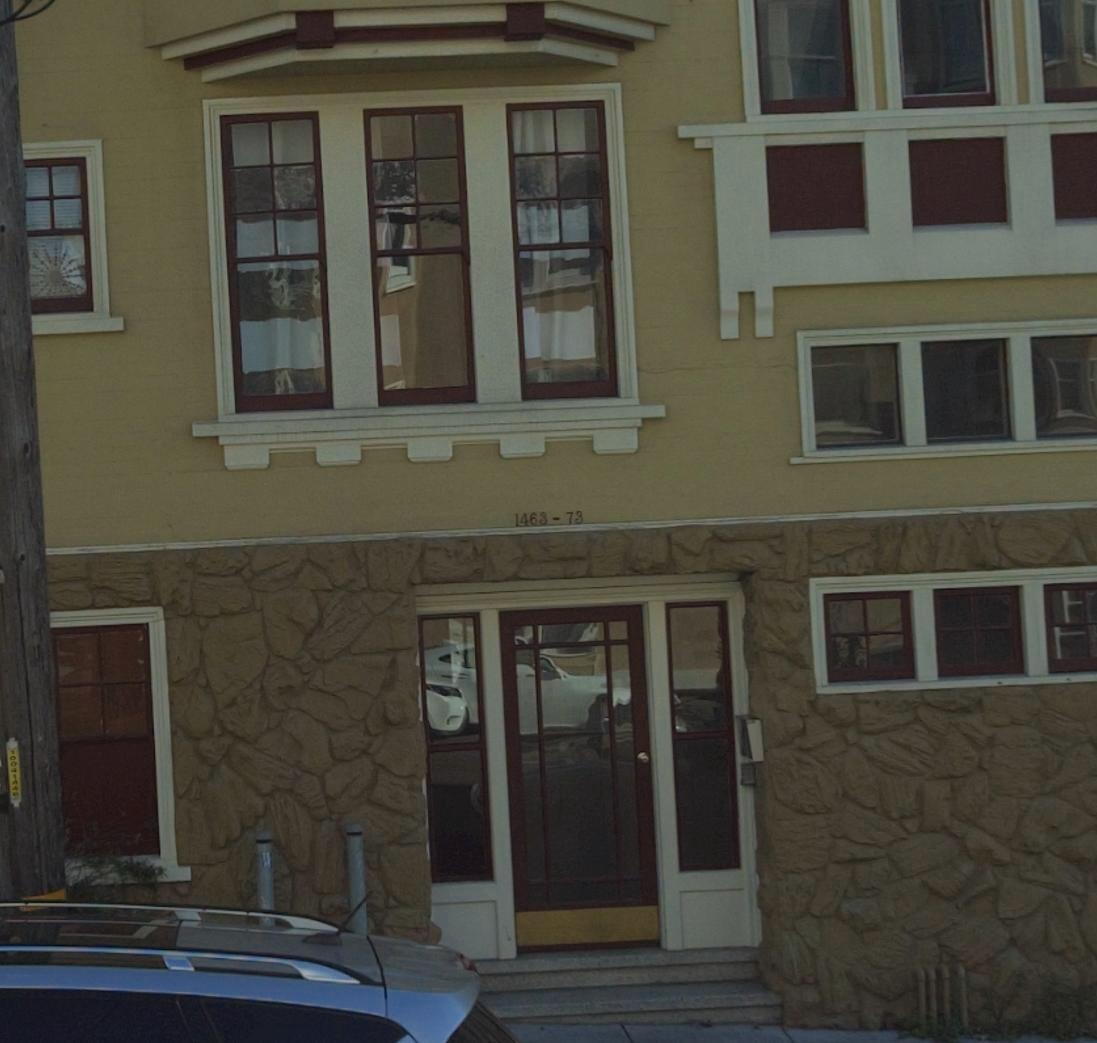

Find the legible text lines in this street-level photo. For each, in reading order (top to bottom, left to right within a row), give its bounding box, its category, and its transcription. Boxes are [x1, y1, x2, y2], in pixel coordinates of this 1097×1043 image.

[513, 509, 585, 528] StreetNumber: 1463-73
[8, 748, 21, 799] None: 10041440